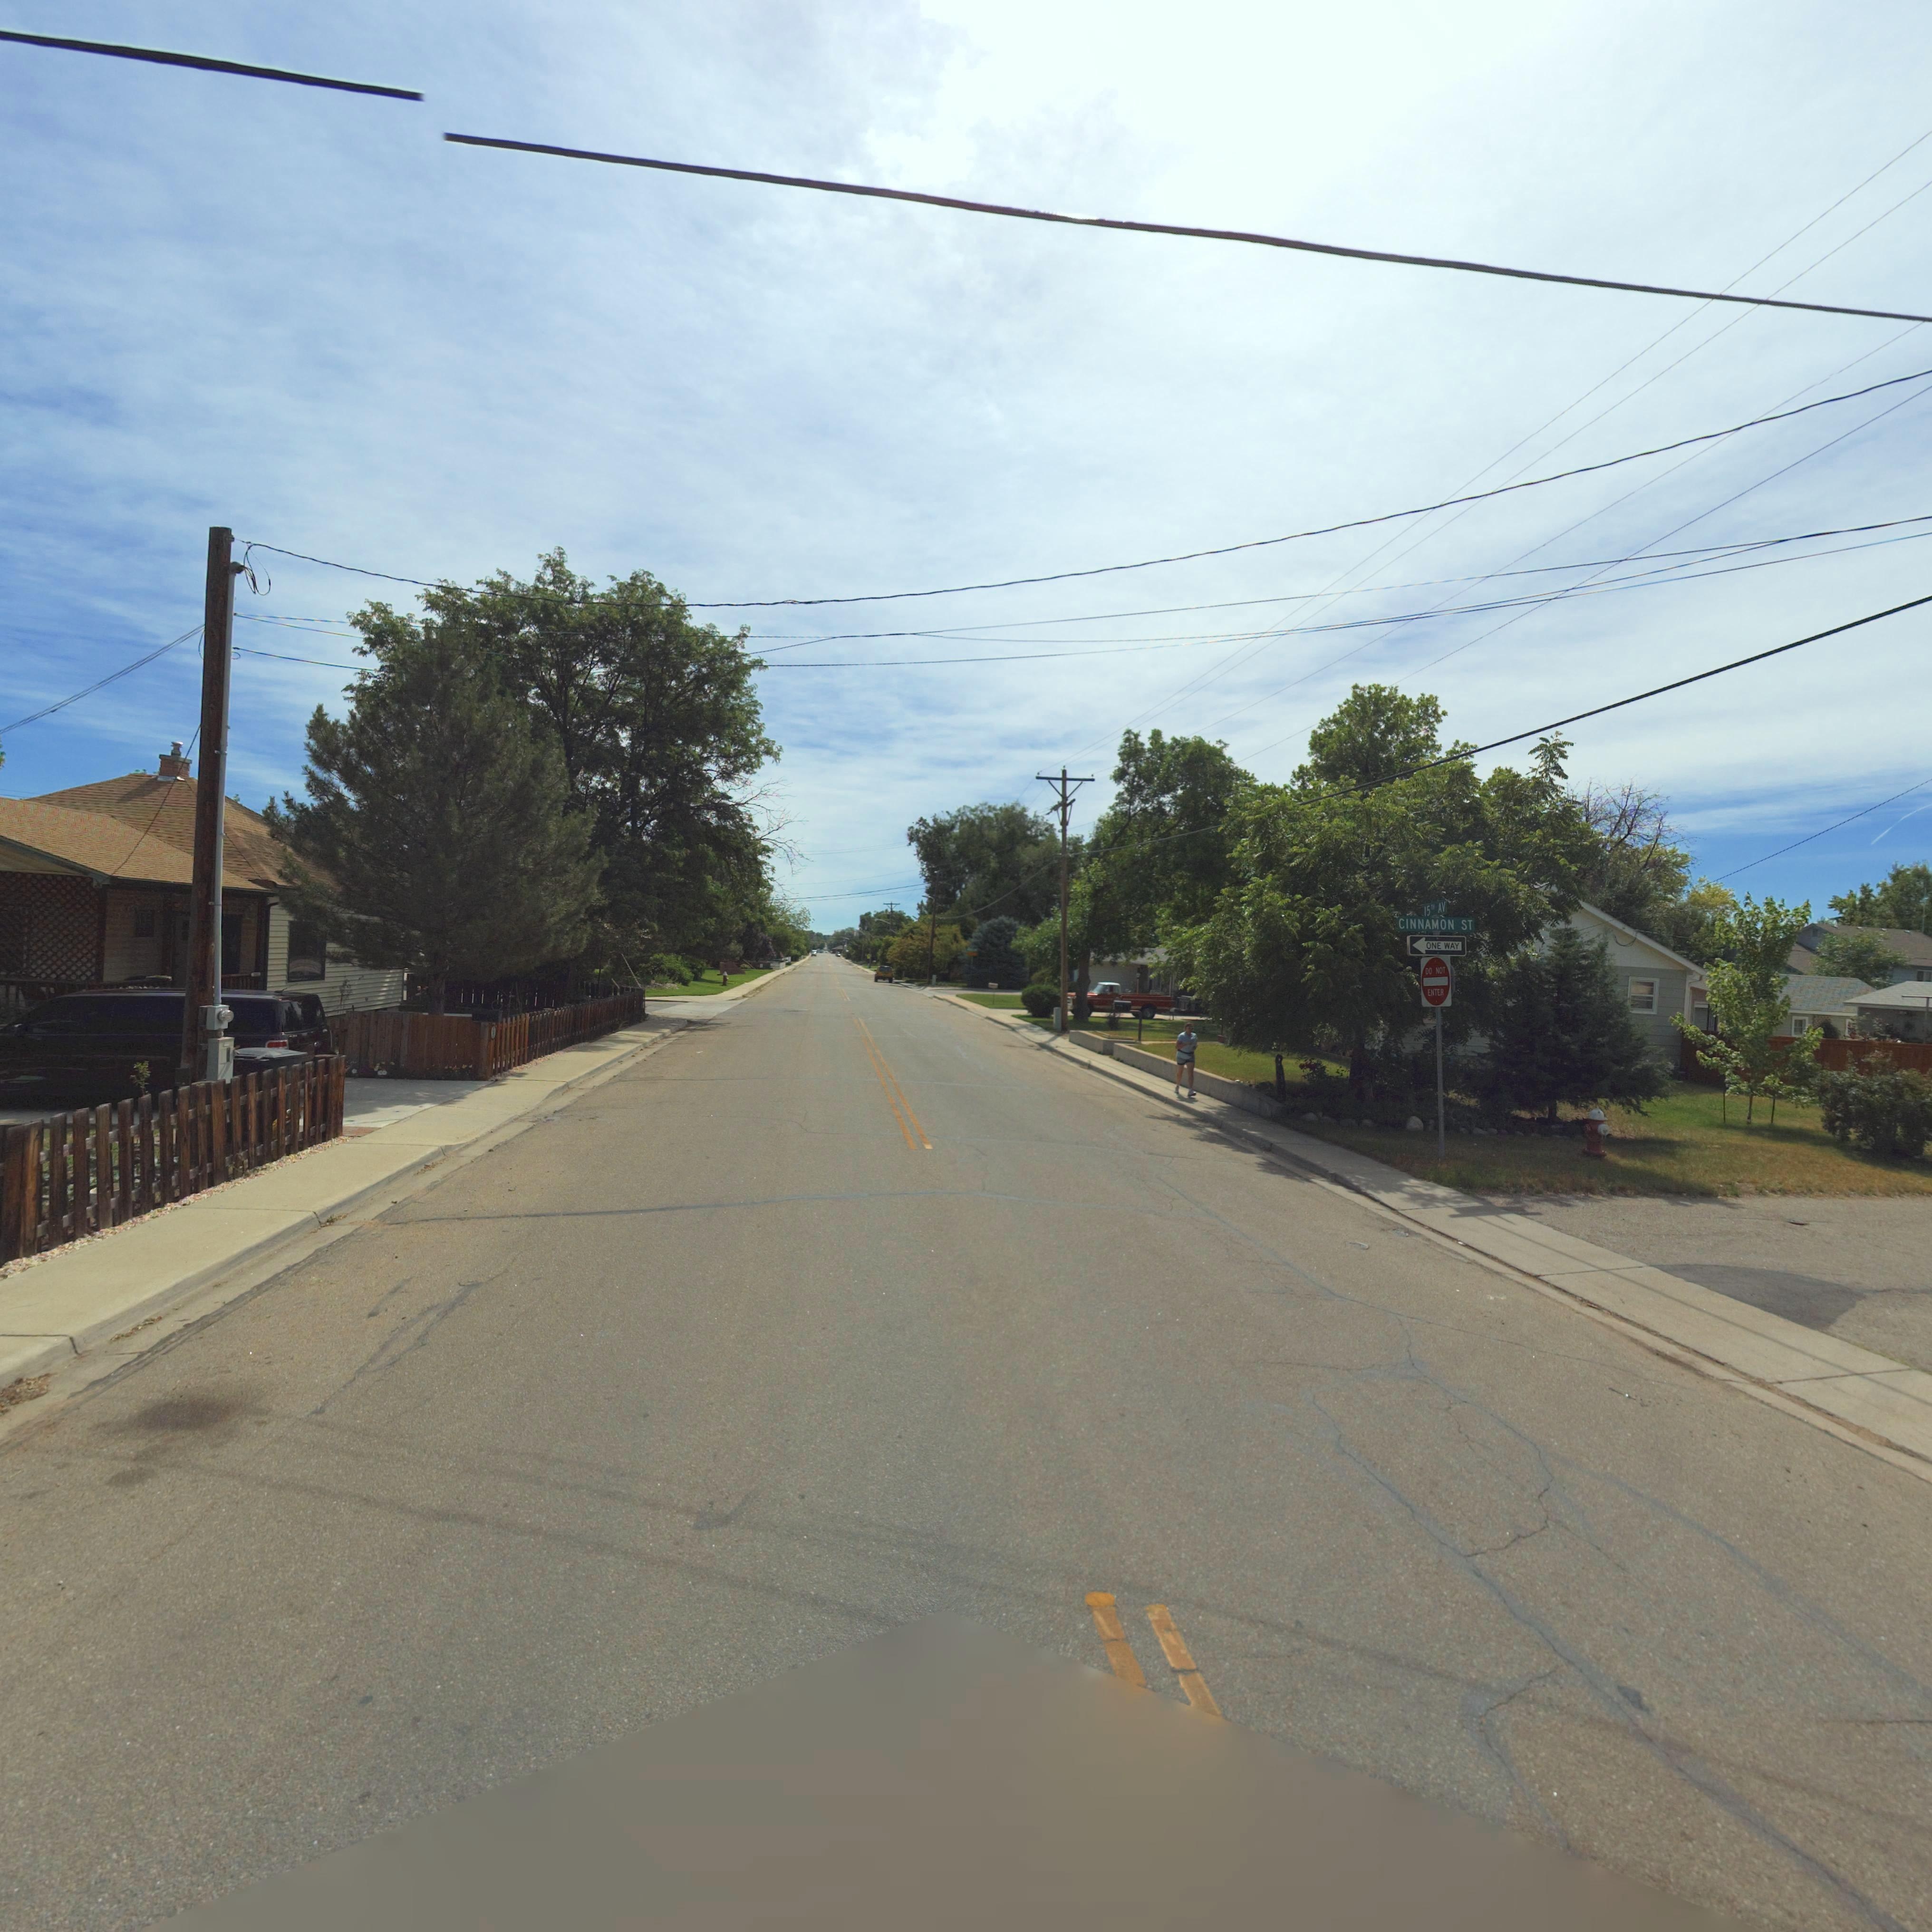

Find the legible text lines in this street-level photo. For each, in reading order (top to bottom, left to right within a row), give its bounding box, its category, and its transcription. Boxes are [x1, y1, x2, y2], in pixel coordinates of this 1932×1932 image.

[1424, 900, 1446, 918] StreetName: 15TH AV
[1398, 918, 1473, 931] StreetName: CINNAMON ST